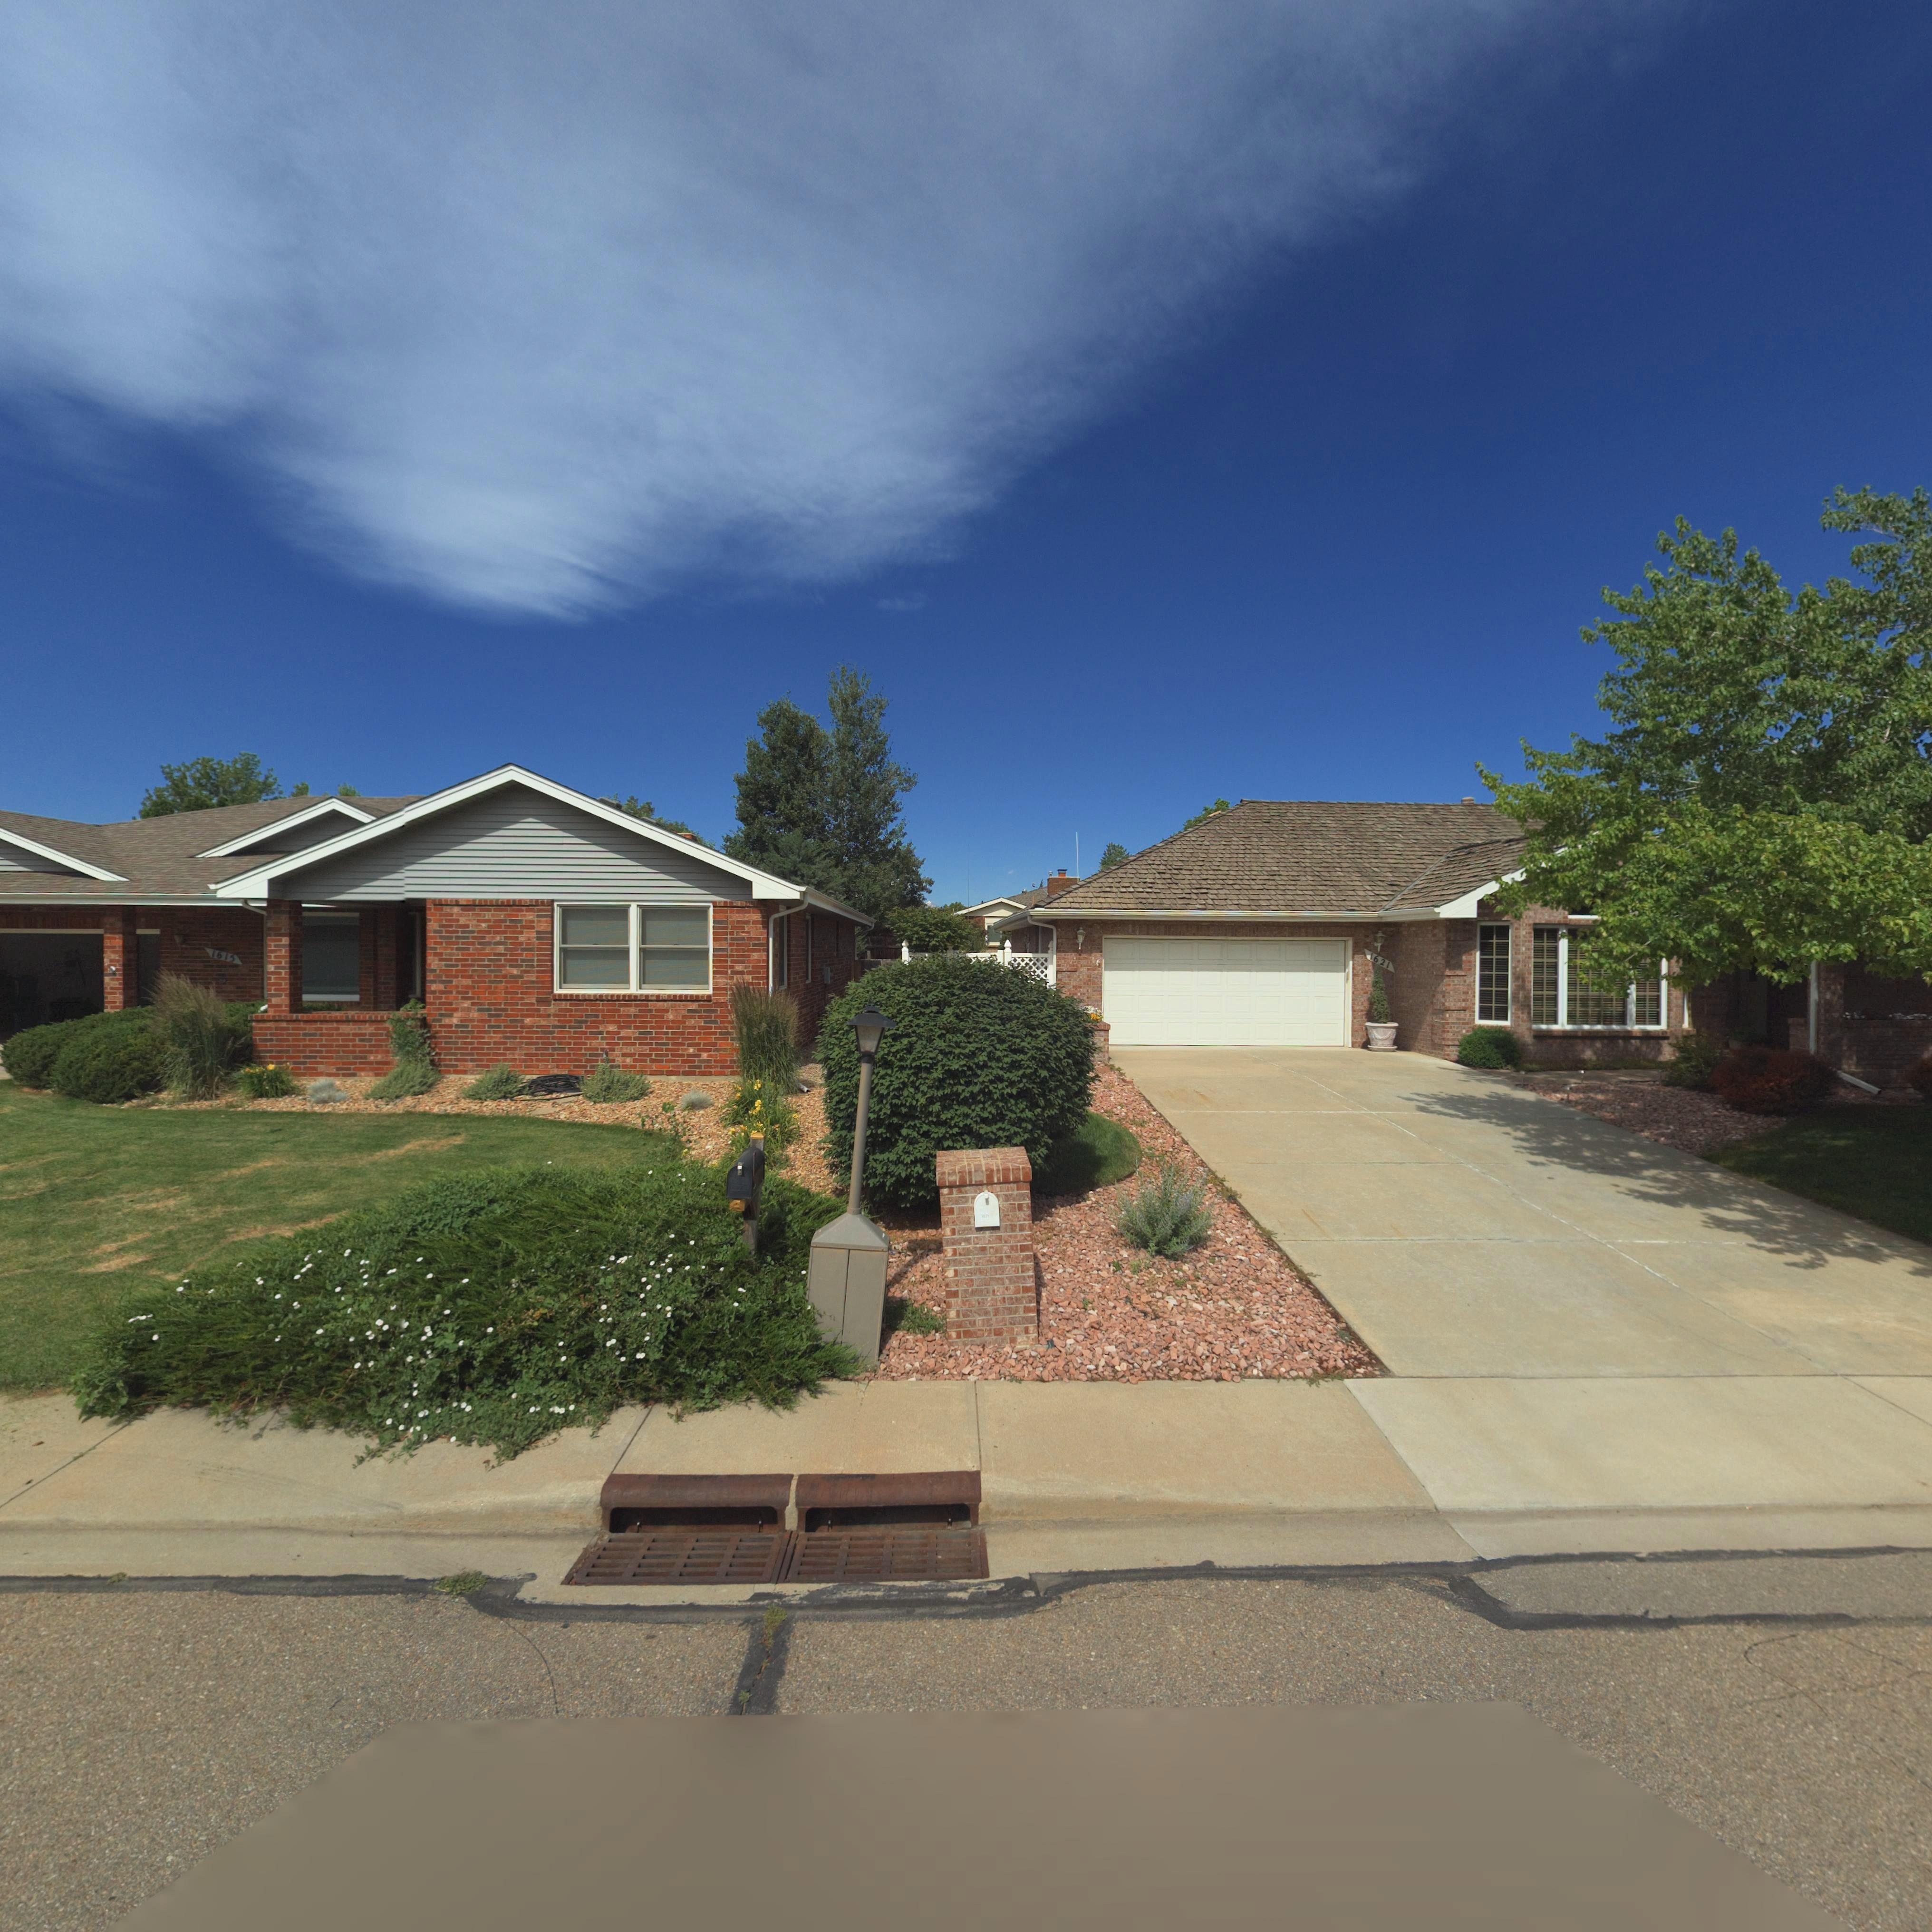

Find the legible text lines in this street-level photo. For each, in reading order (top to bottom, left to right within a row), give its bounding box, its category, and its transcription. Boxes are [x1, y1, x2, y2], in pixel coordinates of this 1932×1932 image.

[211, 948, 236, 963] StreetNumber: 1615
[1370, 952, 1391, 969] StreetNumber: 1621
[981, 1213, 989, 1218] StreetNumber: ***1